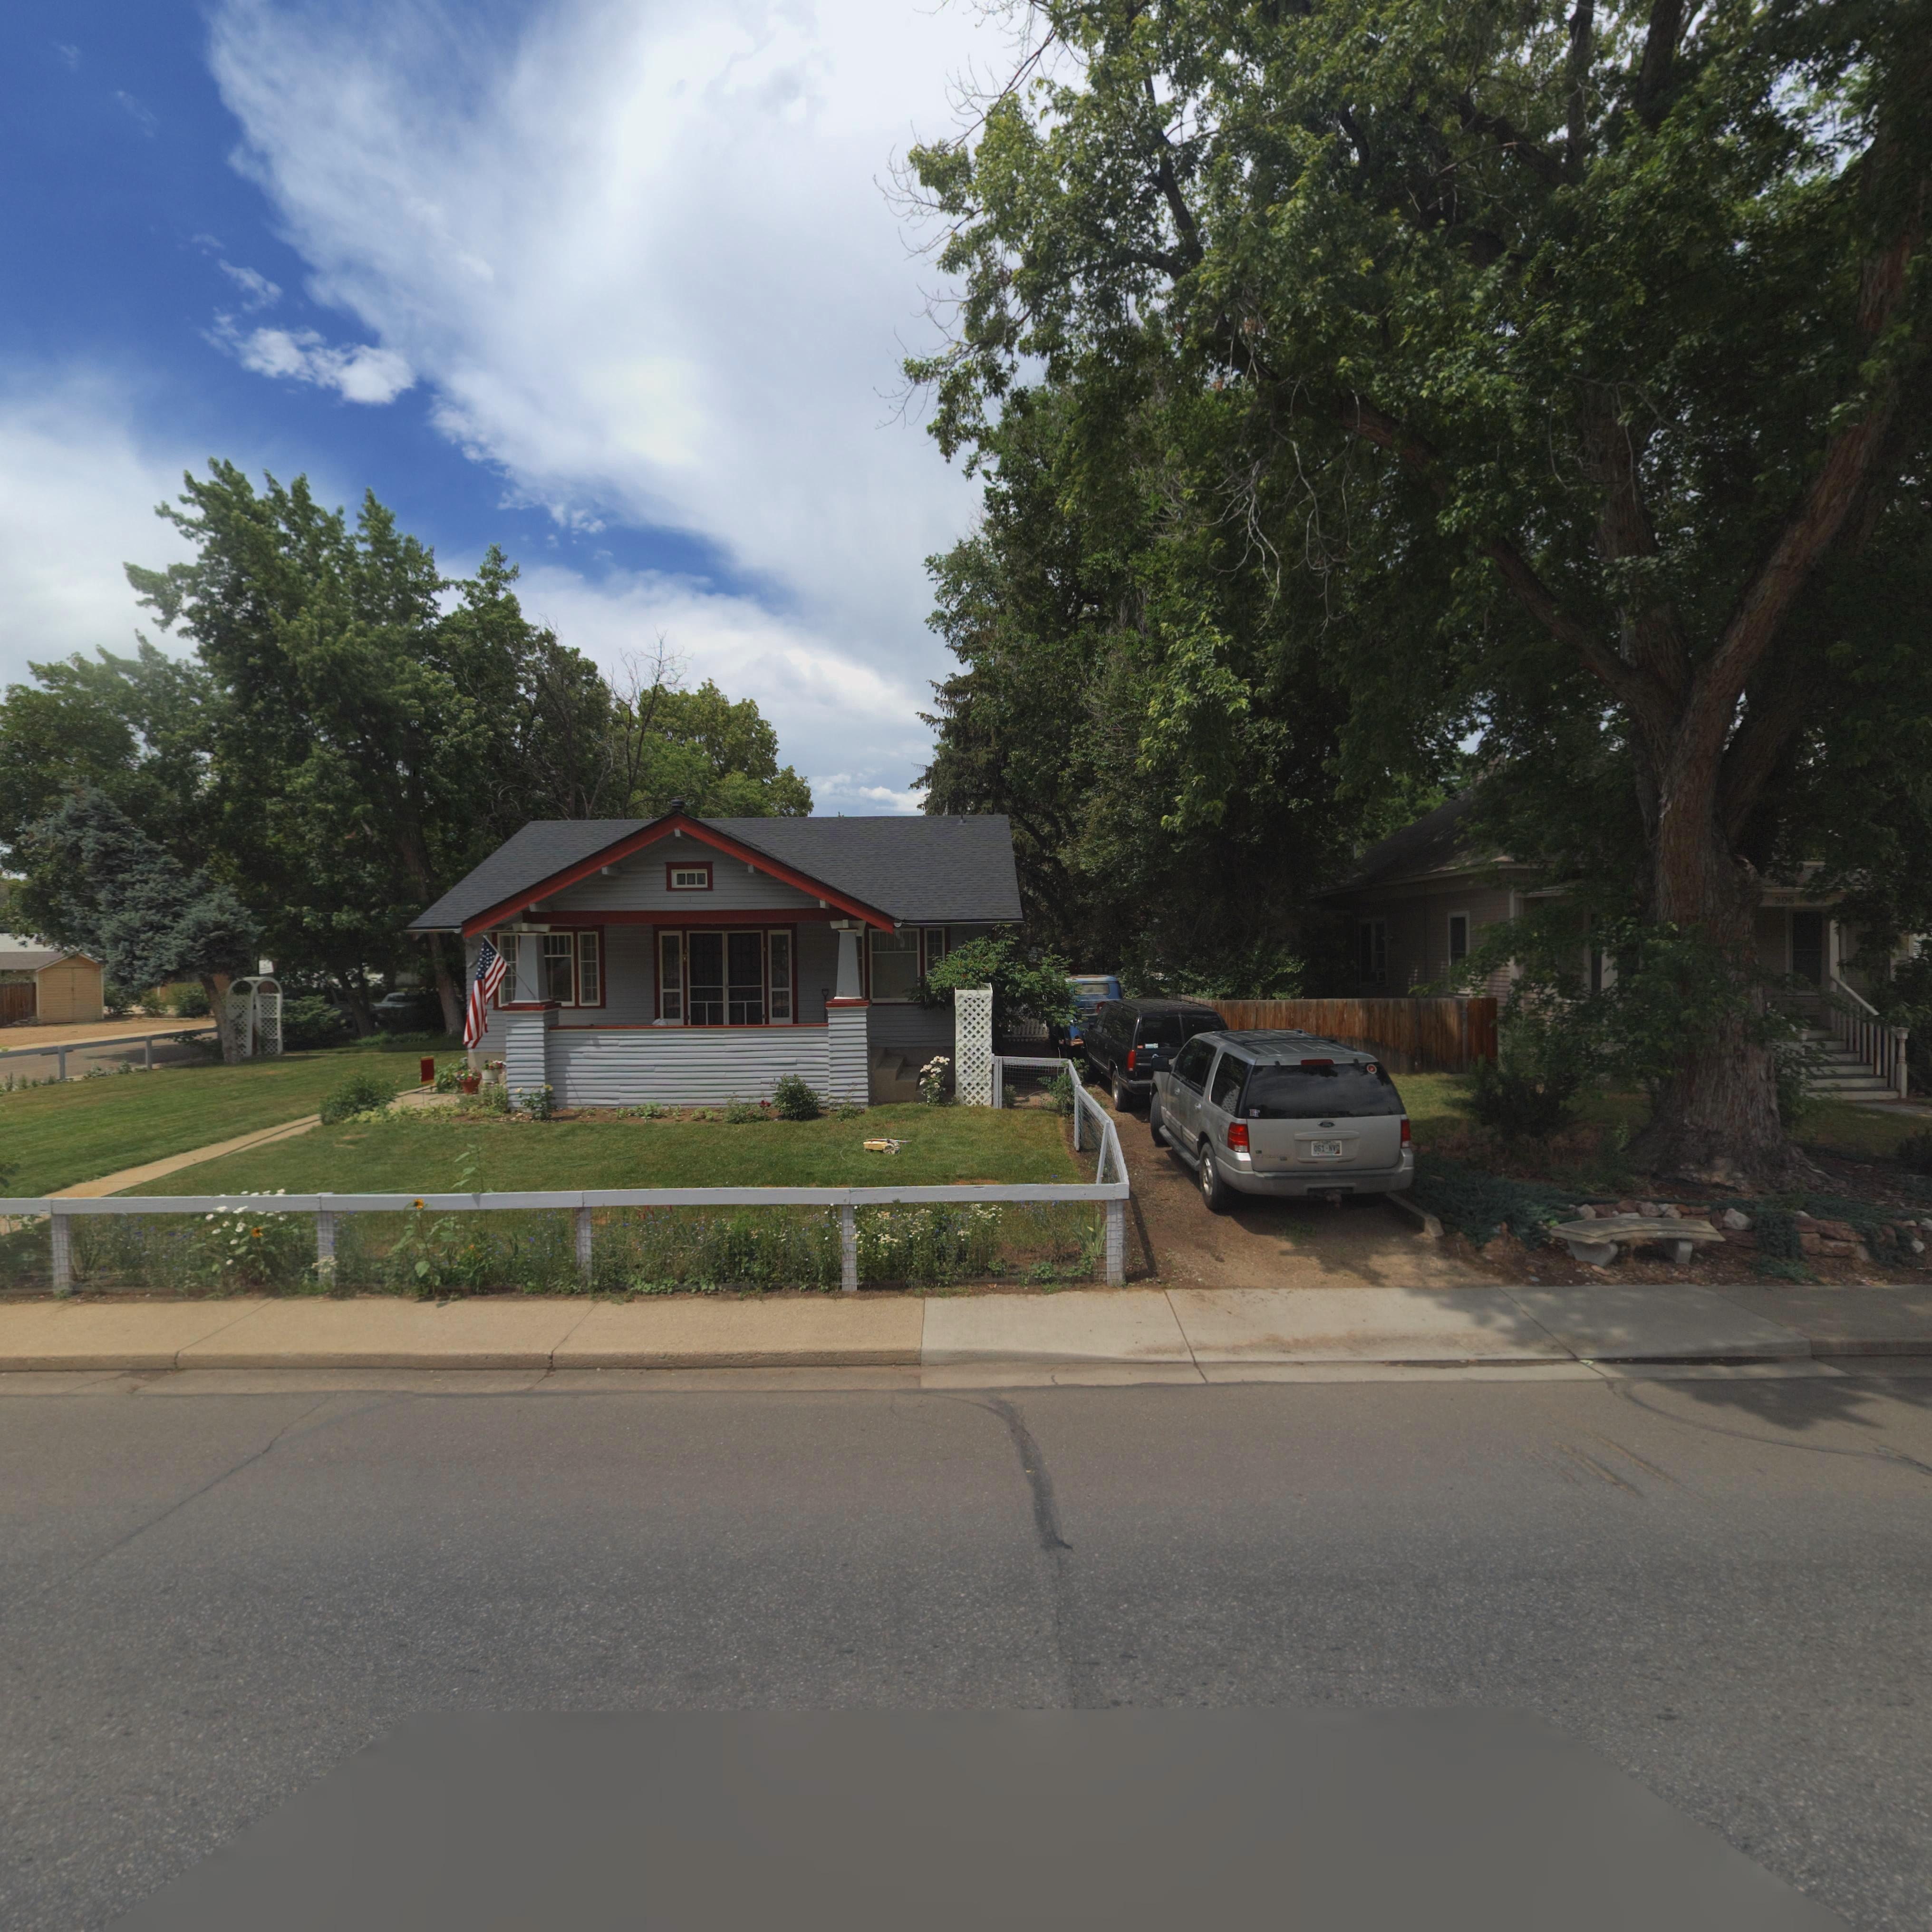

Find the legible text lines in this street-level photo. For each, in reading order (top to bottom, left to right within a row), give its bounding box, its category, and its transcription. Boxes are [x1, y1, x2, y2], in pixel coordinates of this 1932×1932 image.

[1774, 895, 1794, 904] StreetNumber: 306